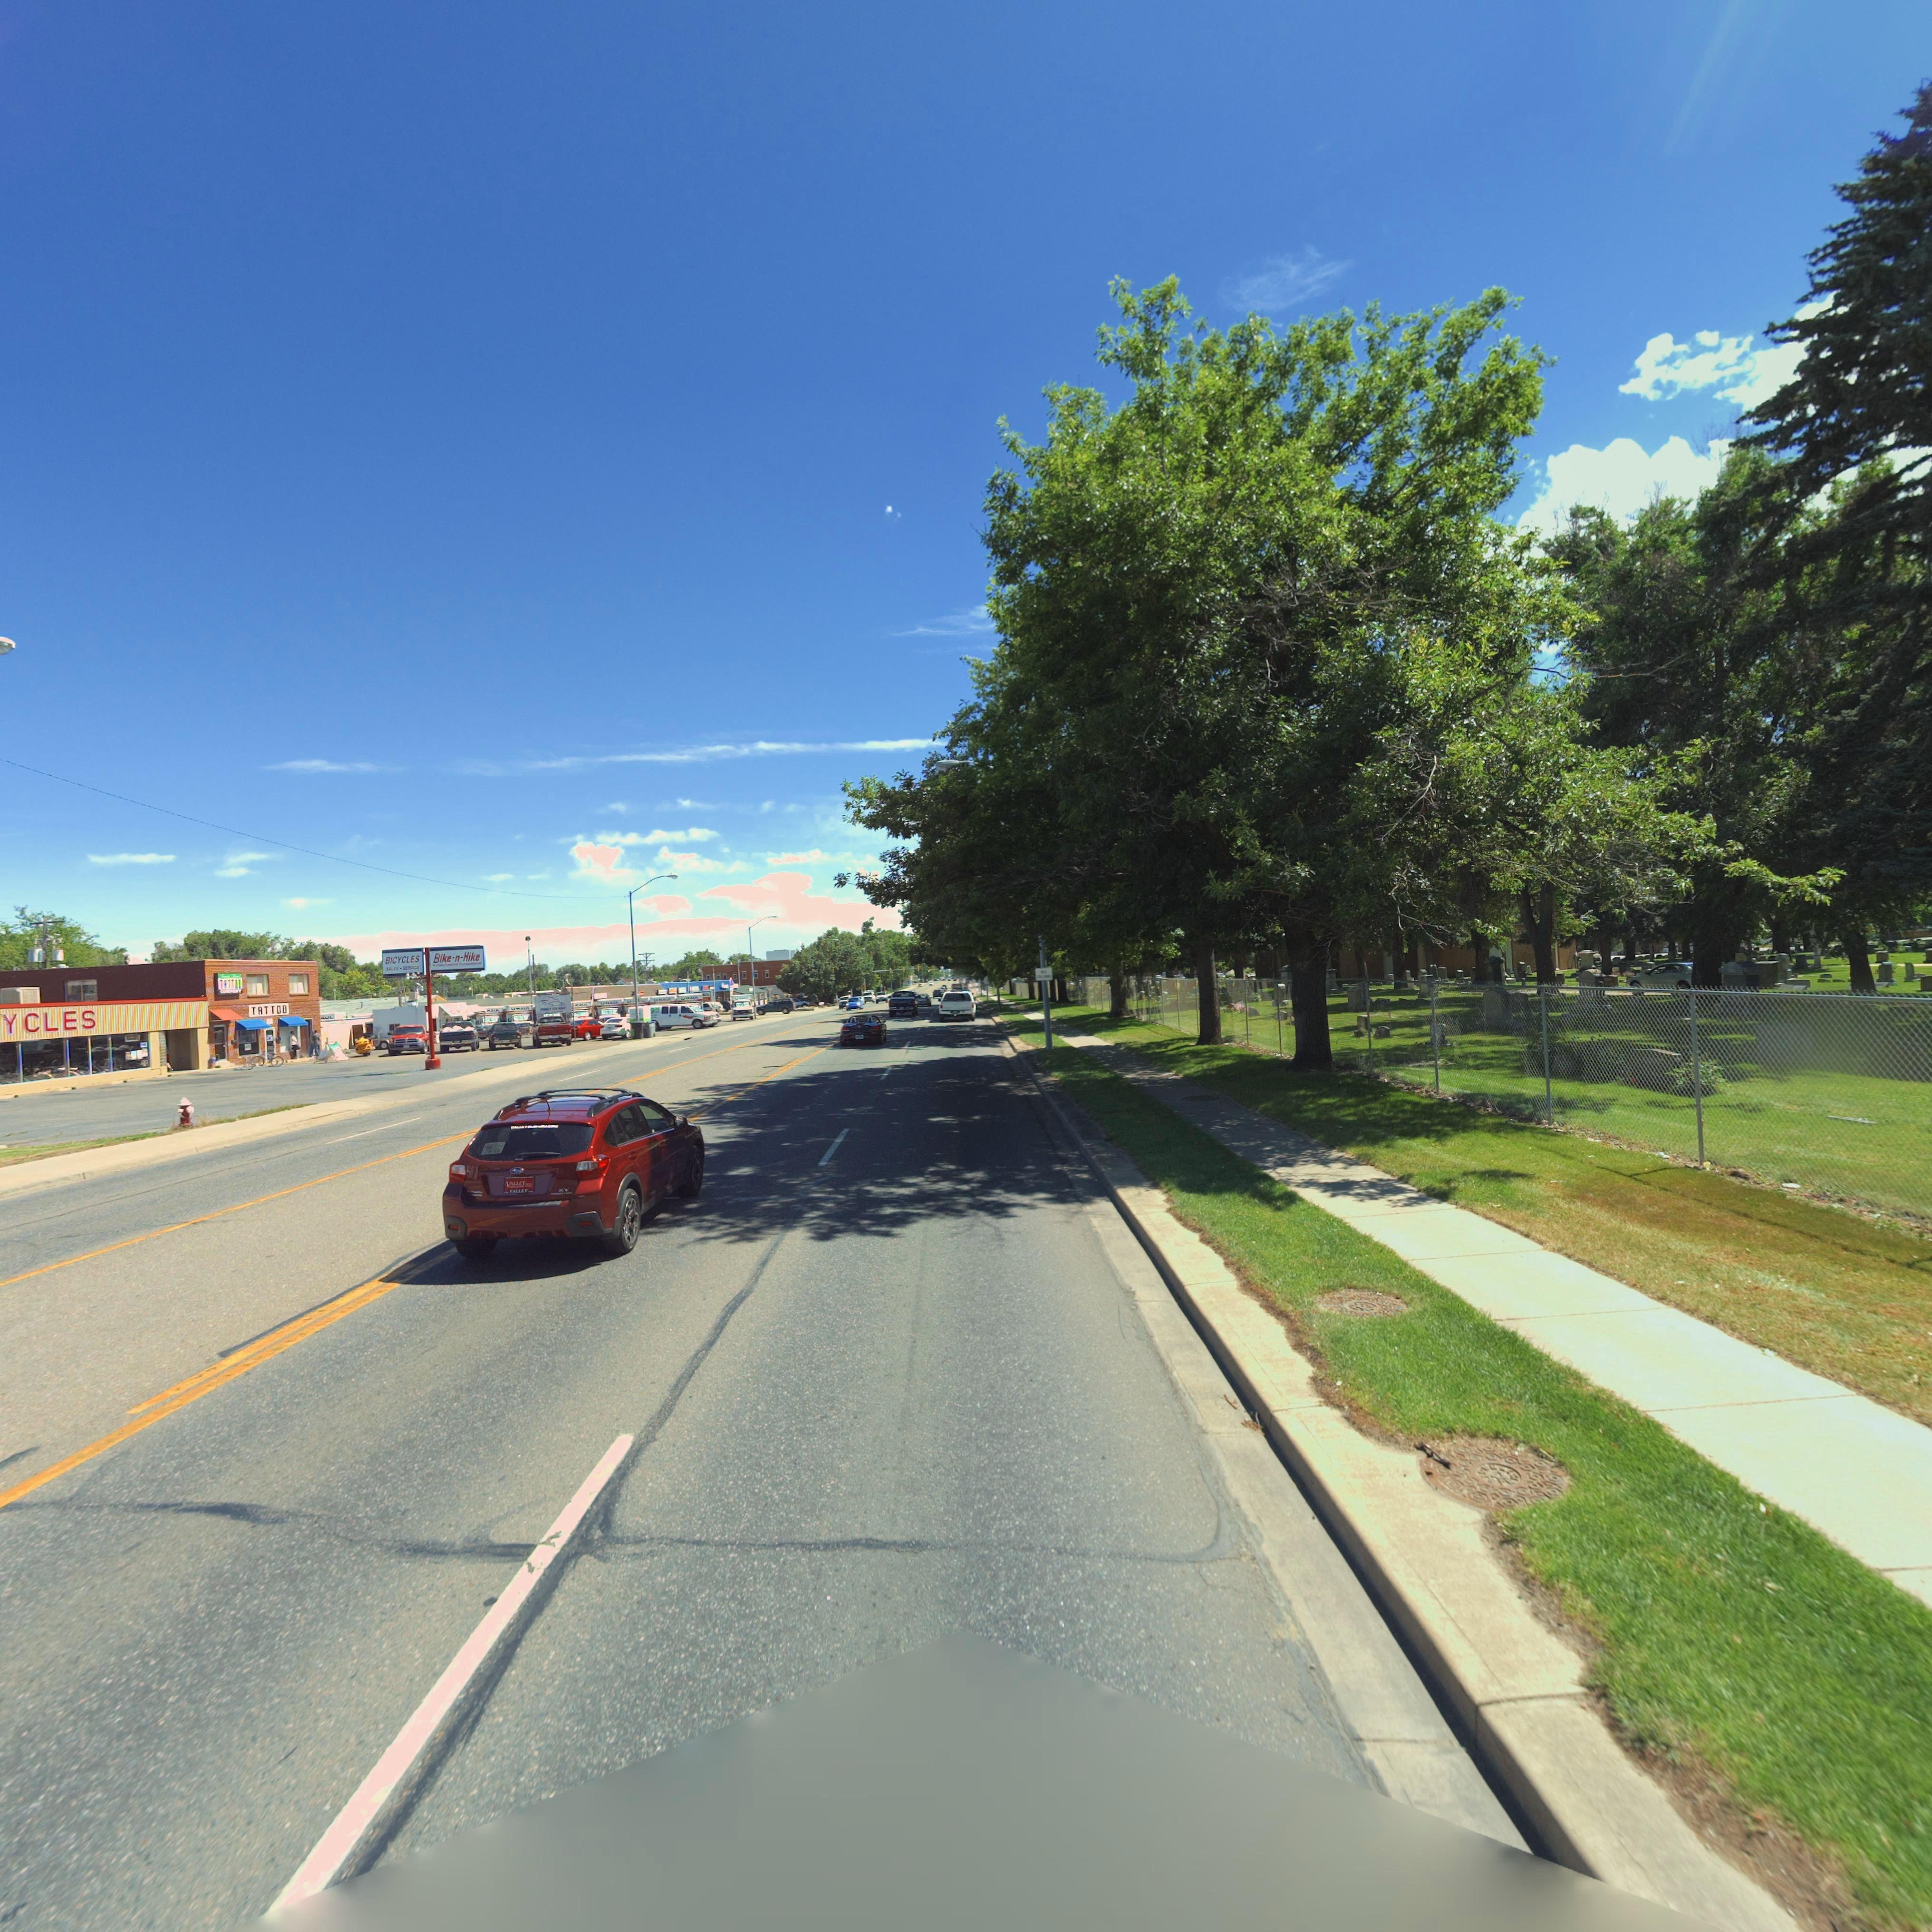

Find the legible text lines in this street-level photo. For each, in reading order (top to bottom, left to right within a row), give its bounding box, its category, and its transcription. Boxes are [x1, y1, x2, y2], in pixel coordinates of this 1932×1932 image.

[433, 951, 480, 963] BusinessName: Bike*n*Hike
[219, 978, 241, 990] BusinessName: TATT**
[250, 1005, 288, 1015] BusinessName: TATTOO